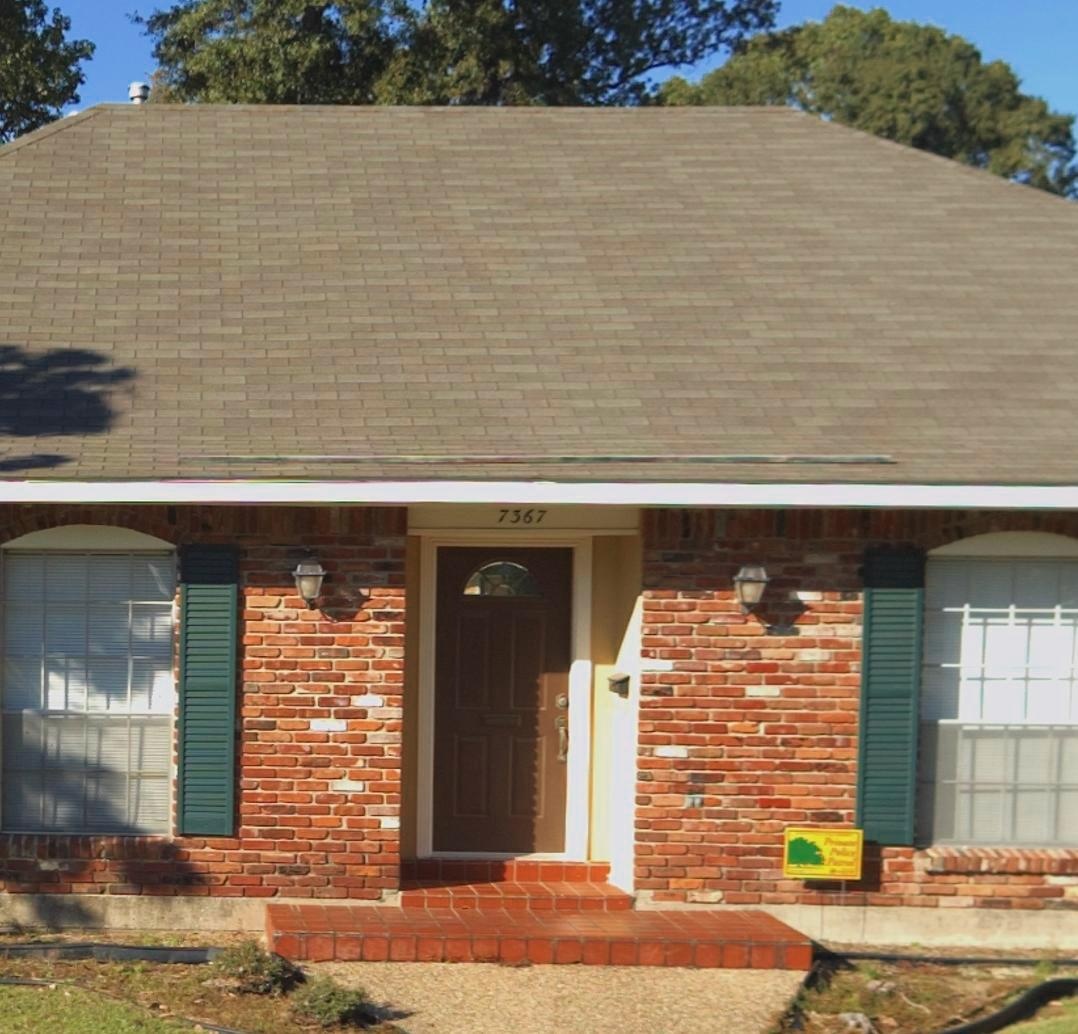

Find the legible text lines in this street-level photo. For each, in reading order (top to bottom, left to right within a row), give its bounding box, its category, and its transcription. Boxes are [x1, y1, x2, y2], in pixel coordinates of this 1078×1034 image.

[495, 508, 549, 525] StreetNumber: 7367